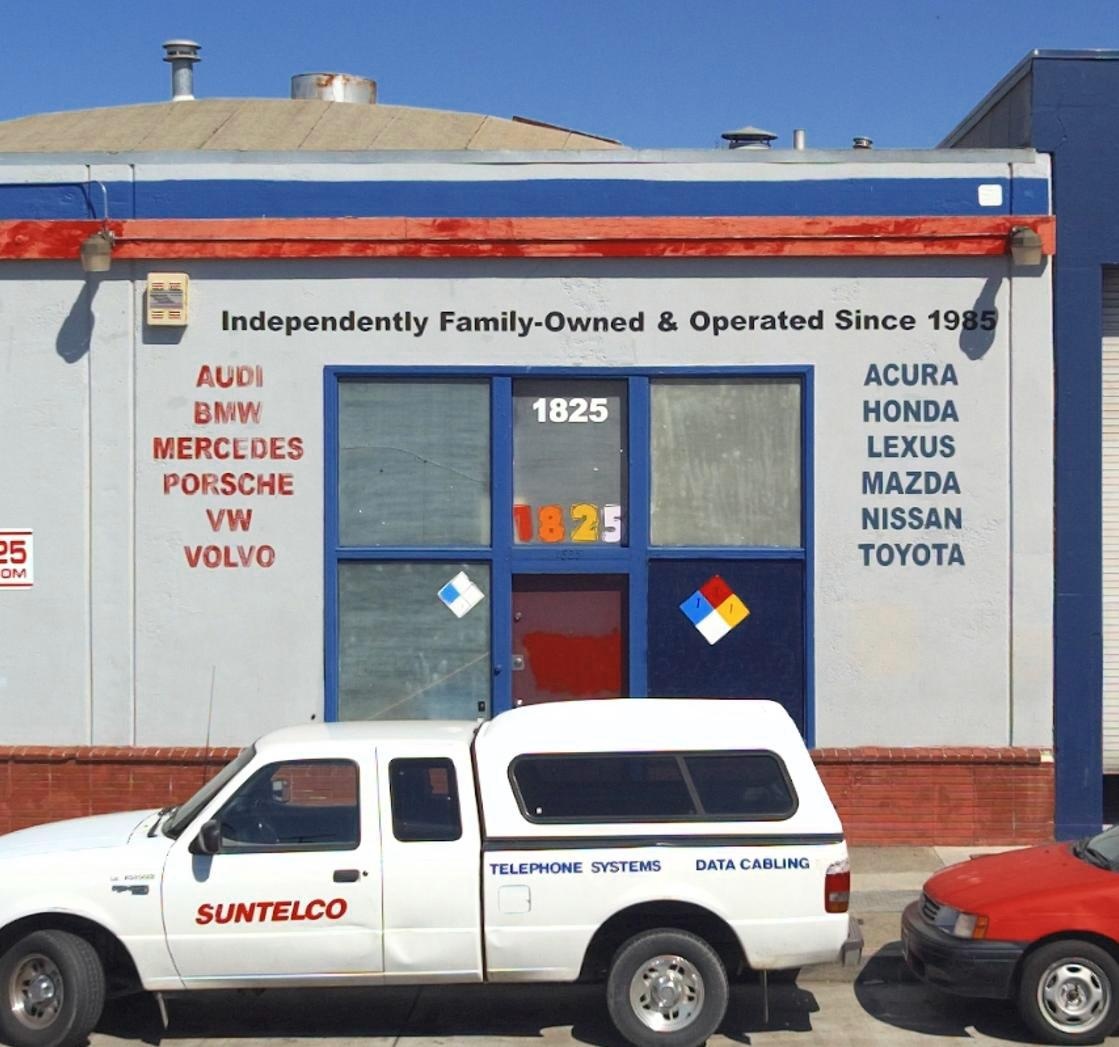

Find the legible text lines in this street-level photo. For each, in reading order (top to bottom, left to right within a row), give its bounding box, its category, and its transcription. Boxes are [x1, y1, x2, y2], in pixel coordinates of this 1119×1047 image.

[220, 308, 997, 338] None: Independently Family-Owned & Operated Since 1985
[196, 363, 265, 389] None: AUDI
[862, 362, 961, 387] None: ACURA
[193, 399, 263, 425] None: BMW
[531, 397, 609, 424] StreetNumber: 1825
[862, 398, 961, 423] None: HONDA
[152, 437, 305, 461] None: MERCEDES
[867, 435, 956, 459] None: LEXUS
[163, 472, 294, 496] None: PORSCHE
[862, 471, 962, 495] None: MAZDA
[205, 508, 254, 533] None: VW
[513, 504, 626, 545] StreetNumber: 1825
[861, 506, 964, 532] None: NISSAN
[9, 539, 28, 564] None: 5
[183, 545, 277, 569] None: VOLVO
[555, 549, 582, 562] StreetNumber: 1825
[858, 542, 967, 567] None: TOYOTA
[0, 568, 27, 580] None: OM
[696, 584, 734, 614] None: 111
[488, 860, 663, 875] None: TELEPHONE SYSTEMS
[695, 856, 811, 871] None: DATA CABLING
[194, 897, 348, 925] BusinessName: SUNTELCO